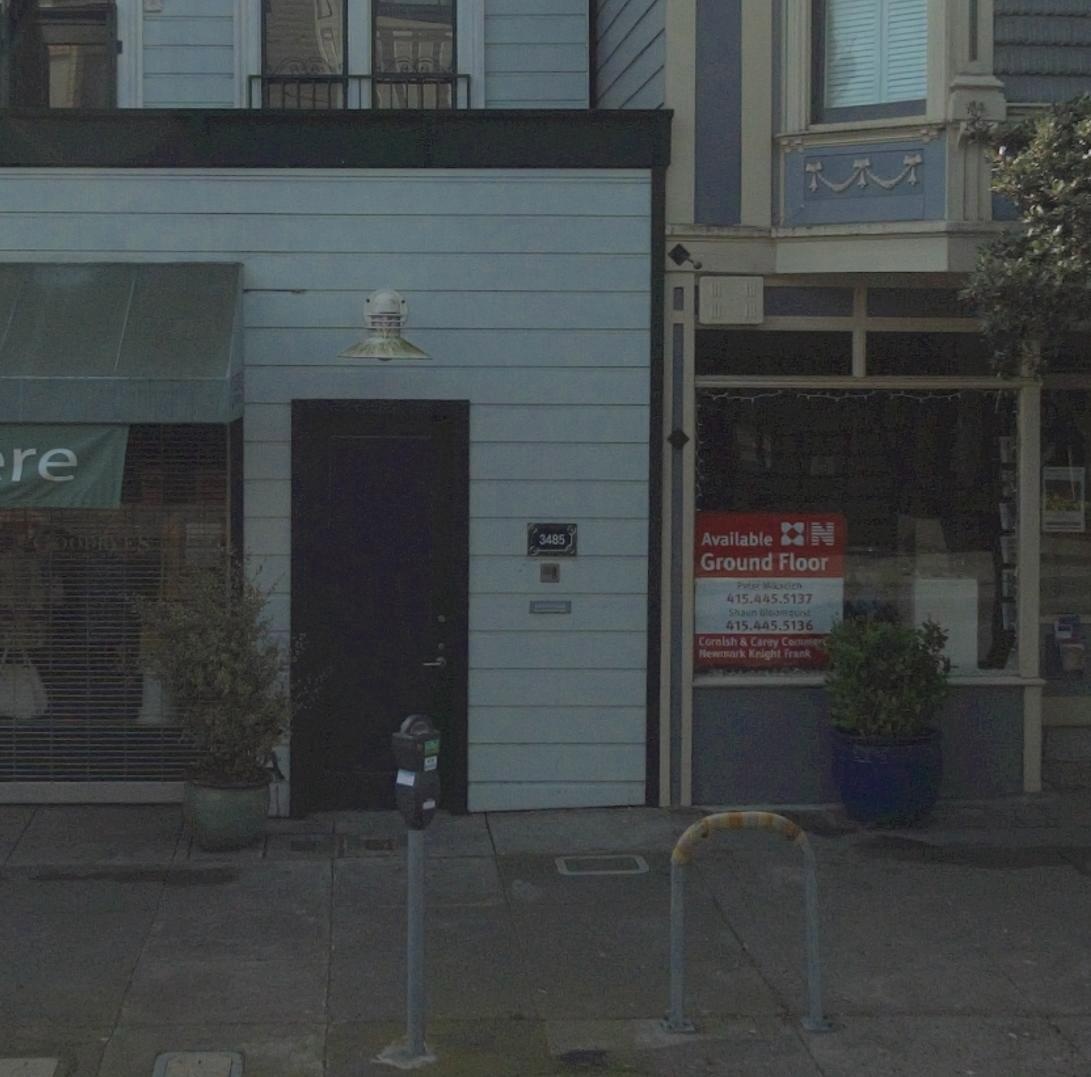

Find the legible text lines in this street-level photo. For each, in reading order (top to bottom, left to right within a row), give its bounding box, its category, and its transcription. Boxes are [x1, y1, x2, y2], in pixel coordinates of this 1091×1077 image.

[7, 444, 81, 486] BusinessName: re
[537, 532, 567, 548] StreetNumber: 3485
[697, 529, 776, 549] None: Available
[808, 519, 837, 549] None: N
[697, 549, 832, 575] None: Ground Floor
[723, 590, 817, 607] None: 415.445.5137
[722, 617, 816, 633] None: 415.445.5136